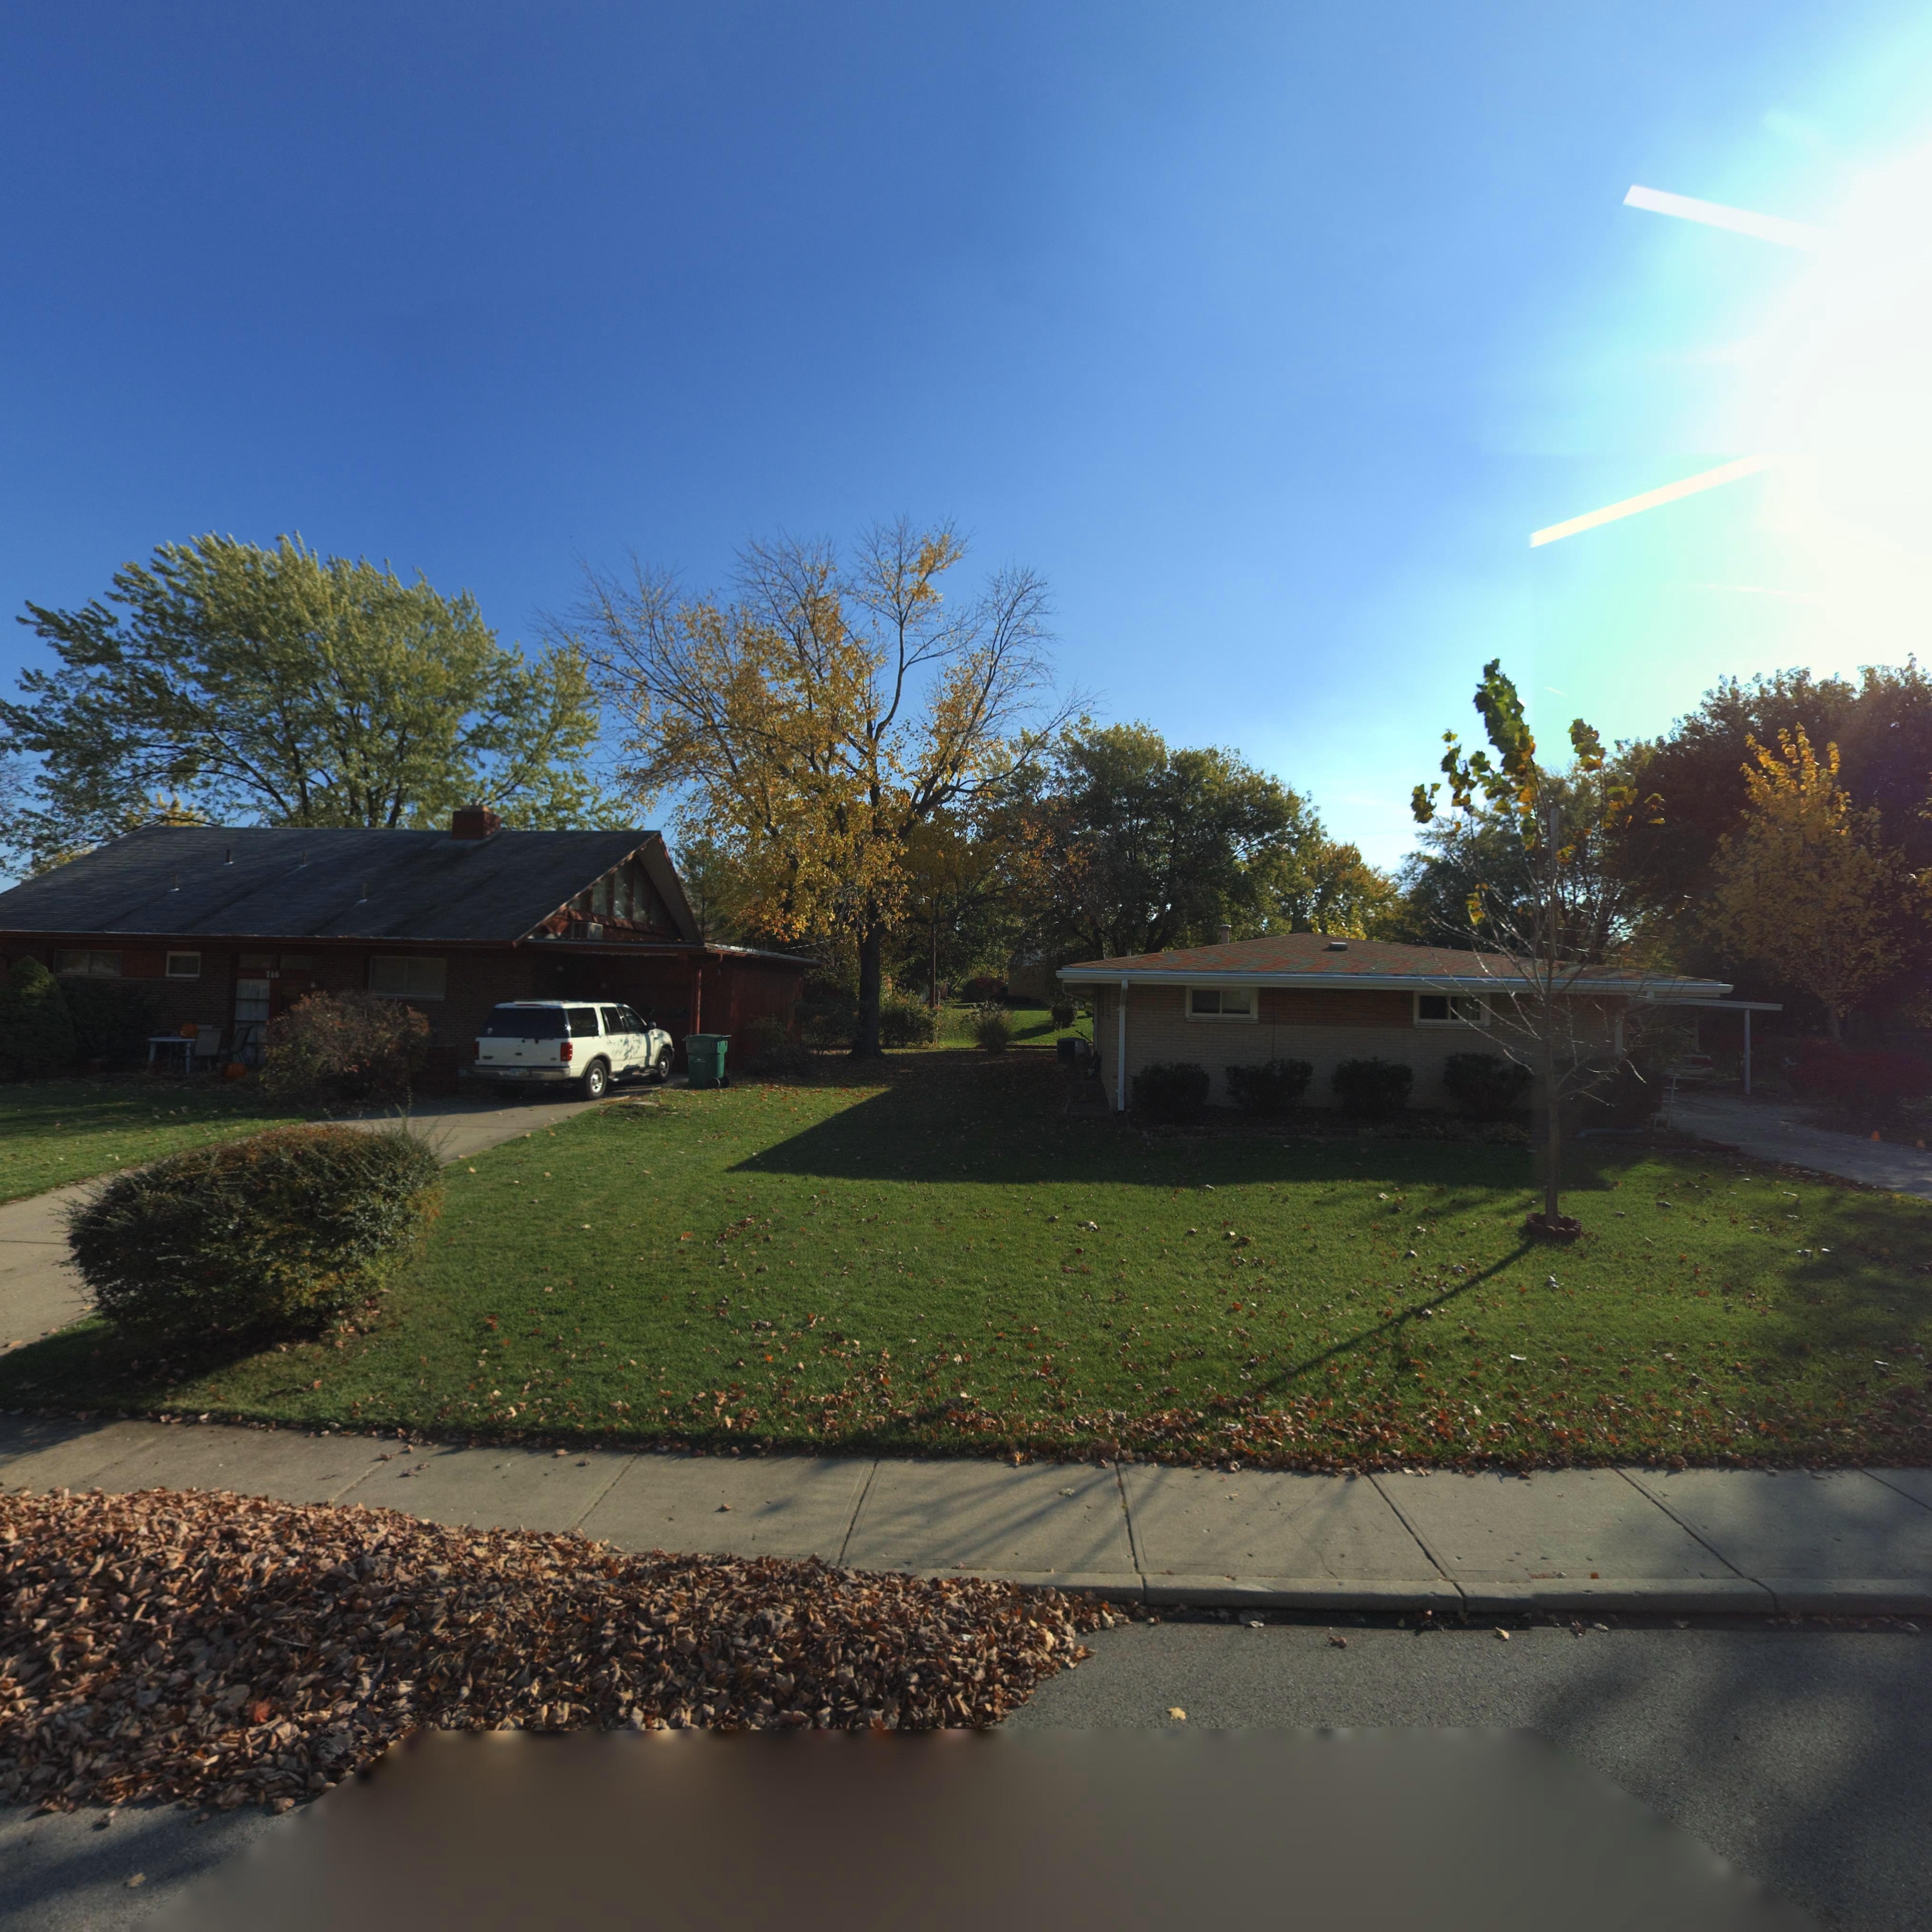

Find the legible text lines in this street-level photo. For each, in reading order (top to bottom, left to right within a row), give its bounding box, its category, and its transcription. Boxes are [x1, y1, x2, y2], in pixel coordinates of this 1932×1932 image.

[264, 970, 280, 979] StreetNumber: 716